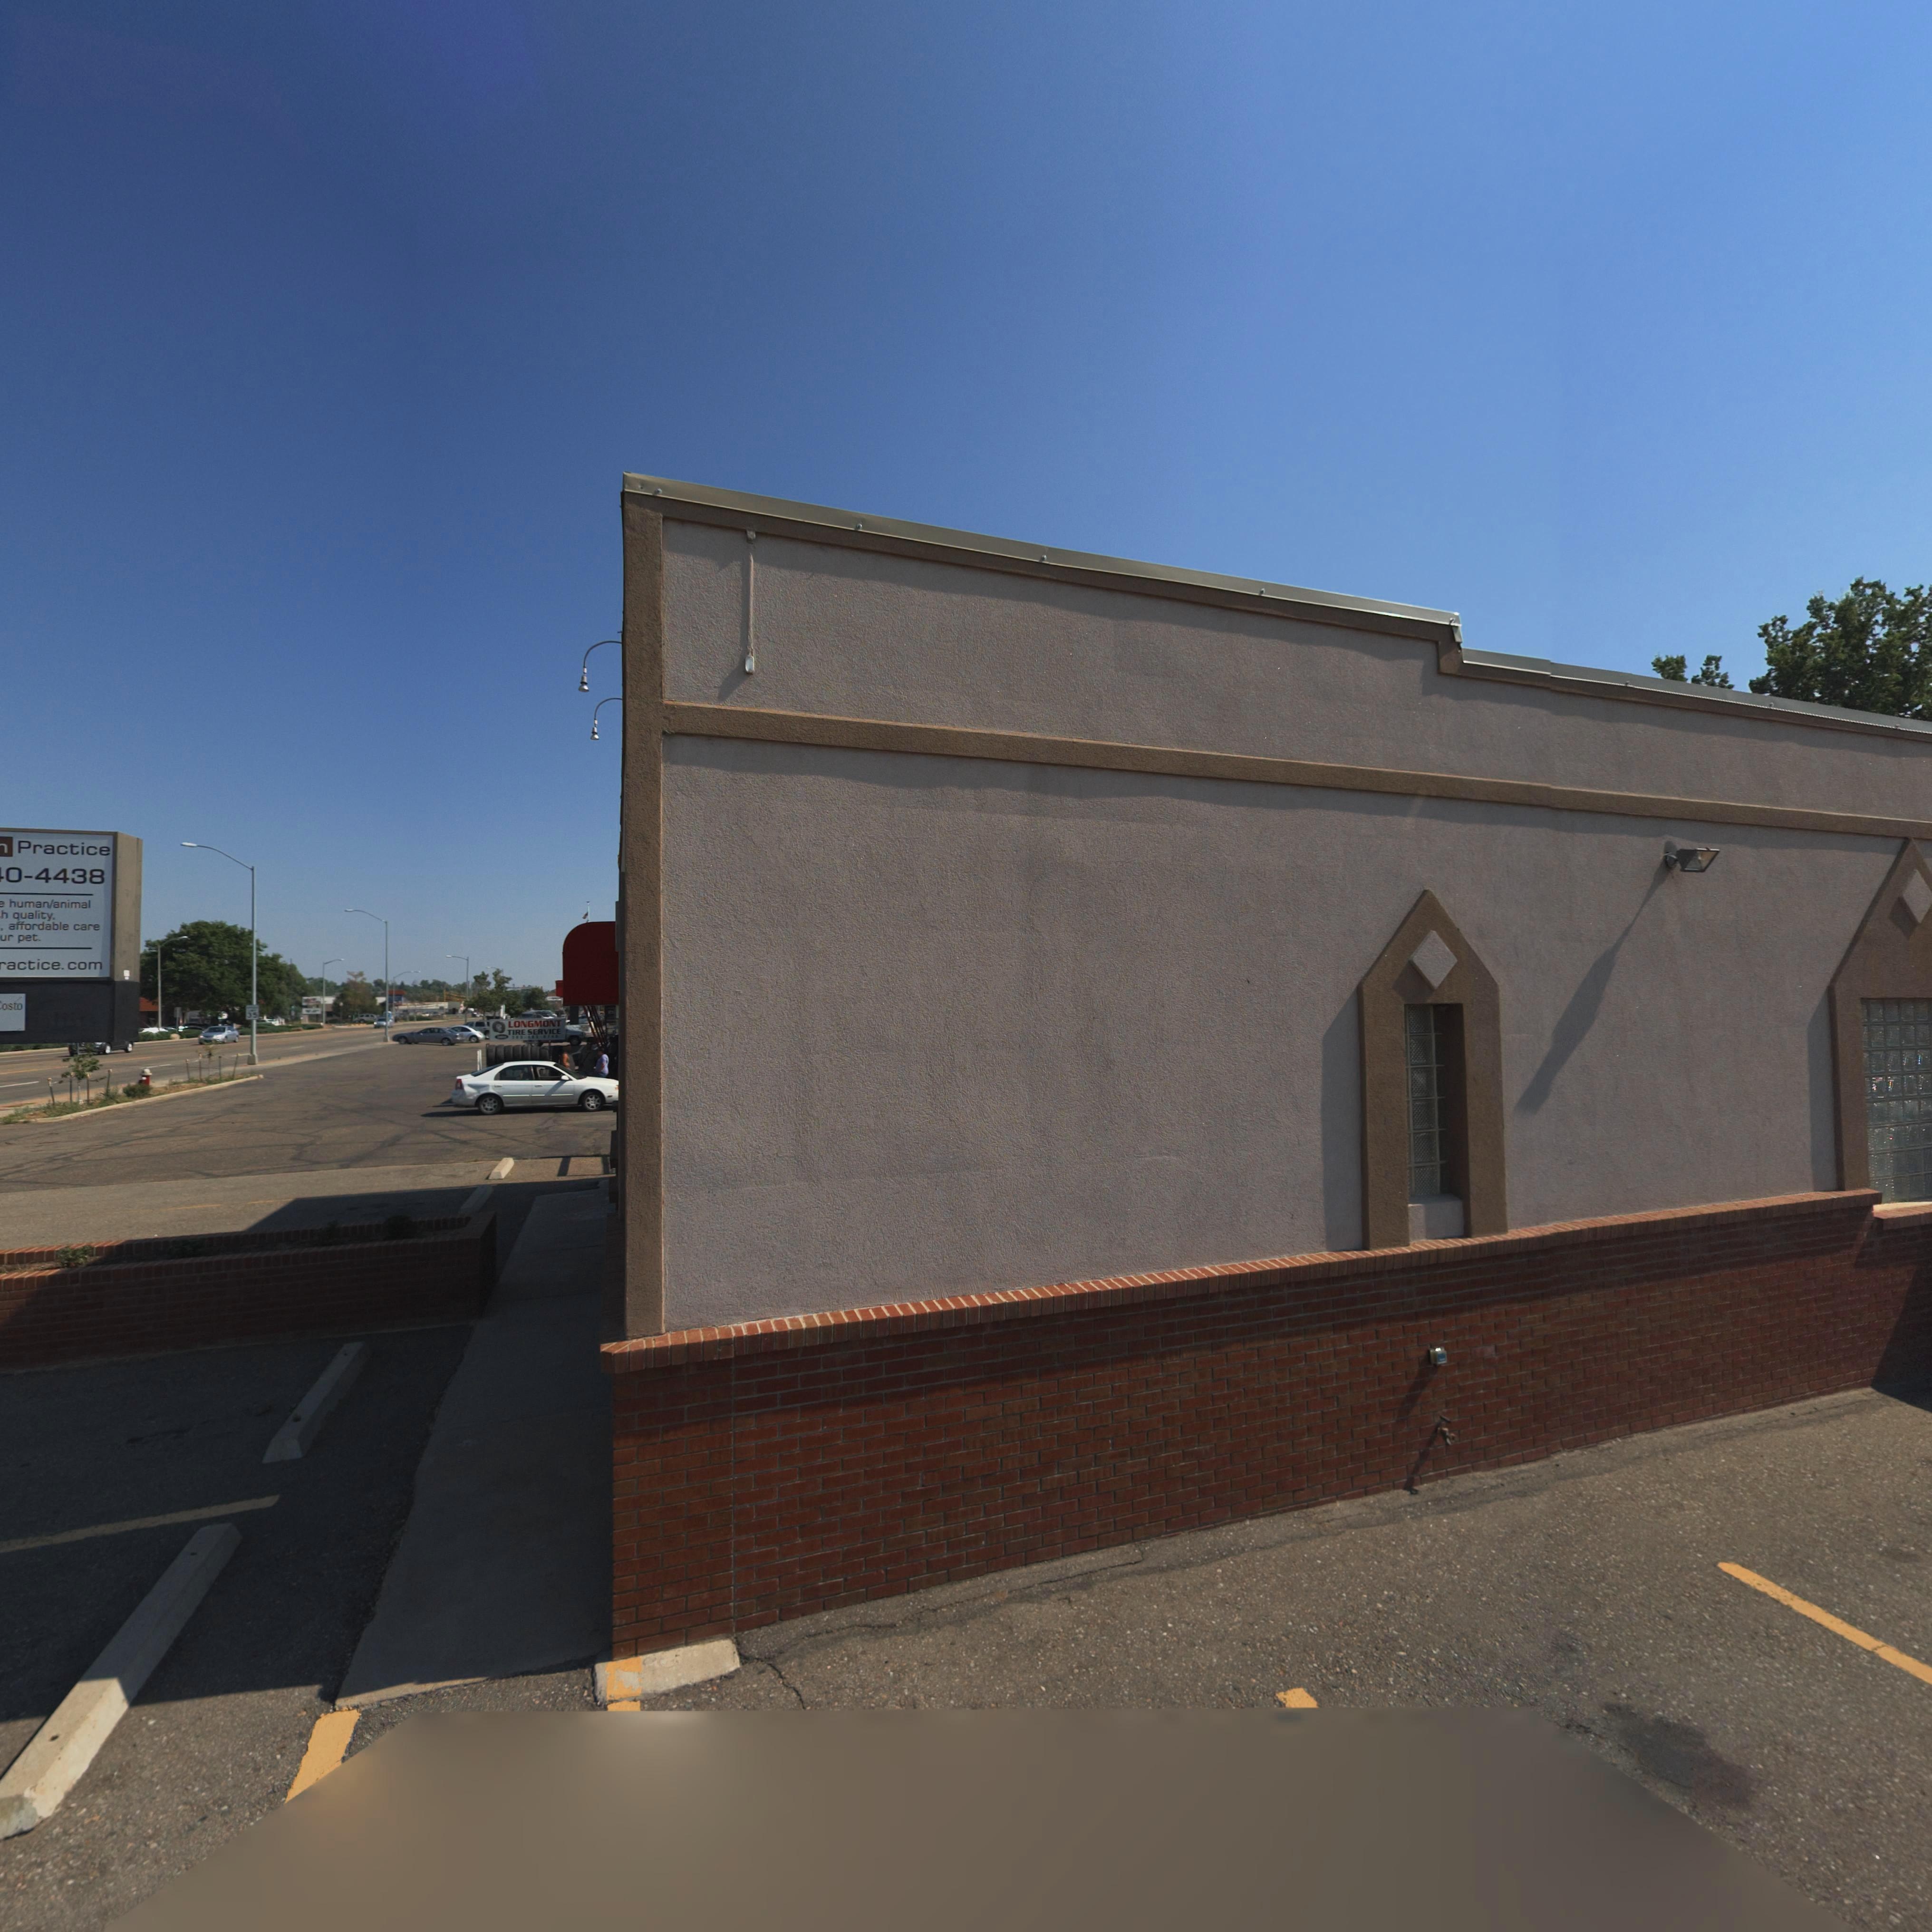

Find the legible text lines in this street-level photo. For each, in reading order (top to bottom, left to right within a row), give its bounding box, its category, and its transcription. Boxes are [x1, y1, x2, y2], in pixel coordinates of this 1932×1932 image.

[508, 1019, 562, 1028] BusinessName: LONGMONT
[507, 1027, 562, 1035] BusinessName: TIRE SERVICE